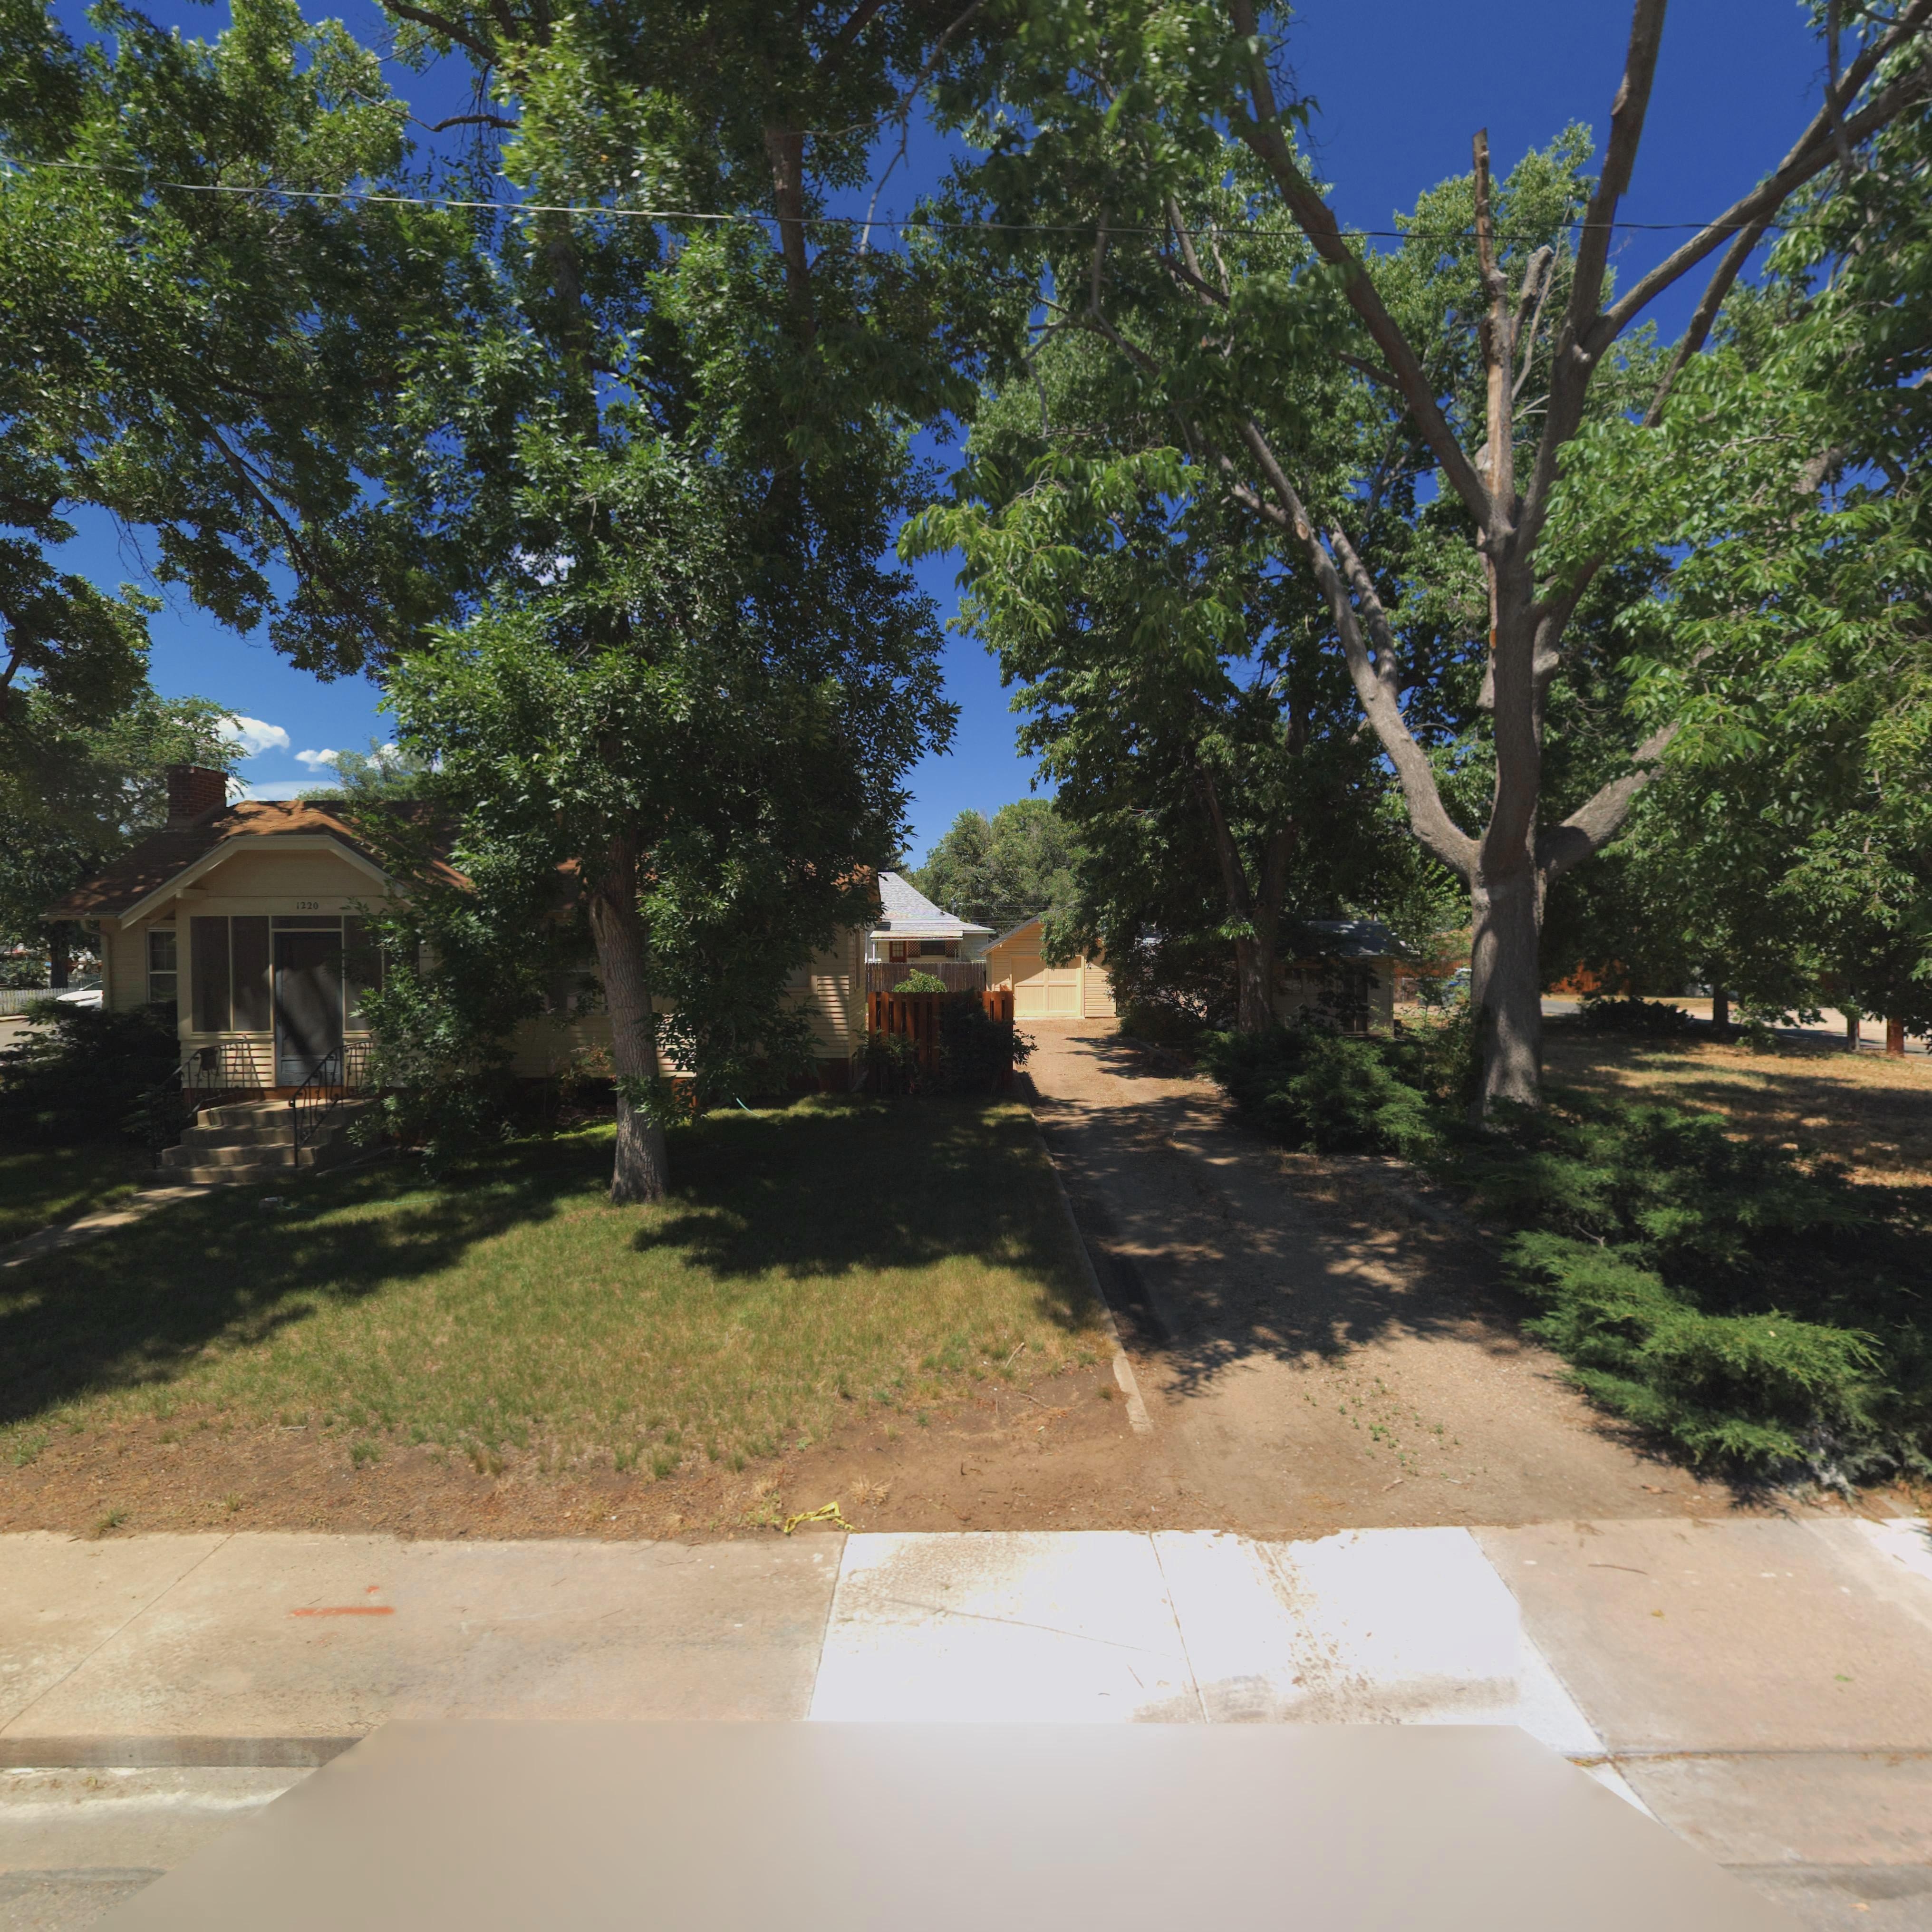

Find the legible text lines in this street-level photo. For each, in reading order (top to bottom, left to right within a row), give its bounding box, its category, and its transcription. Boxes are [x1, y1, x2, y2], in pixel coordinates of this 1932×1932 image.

[296, 901, 318, 909] StreetNumber: 1220